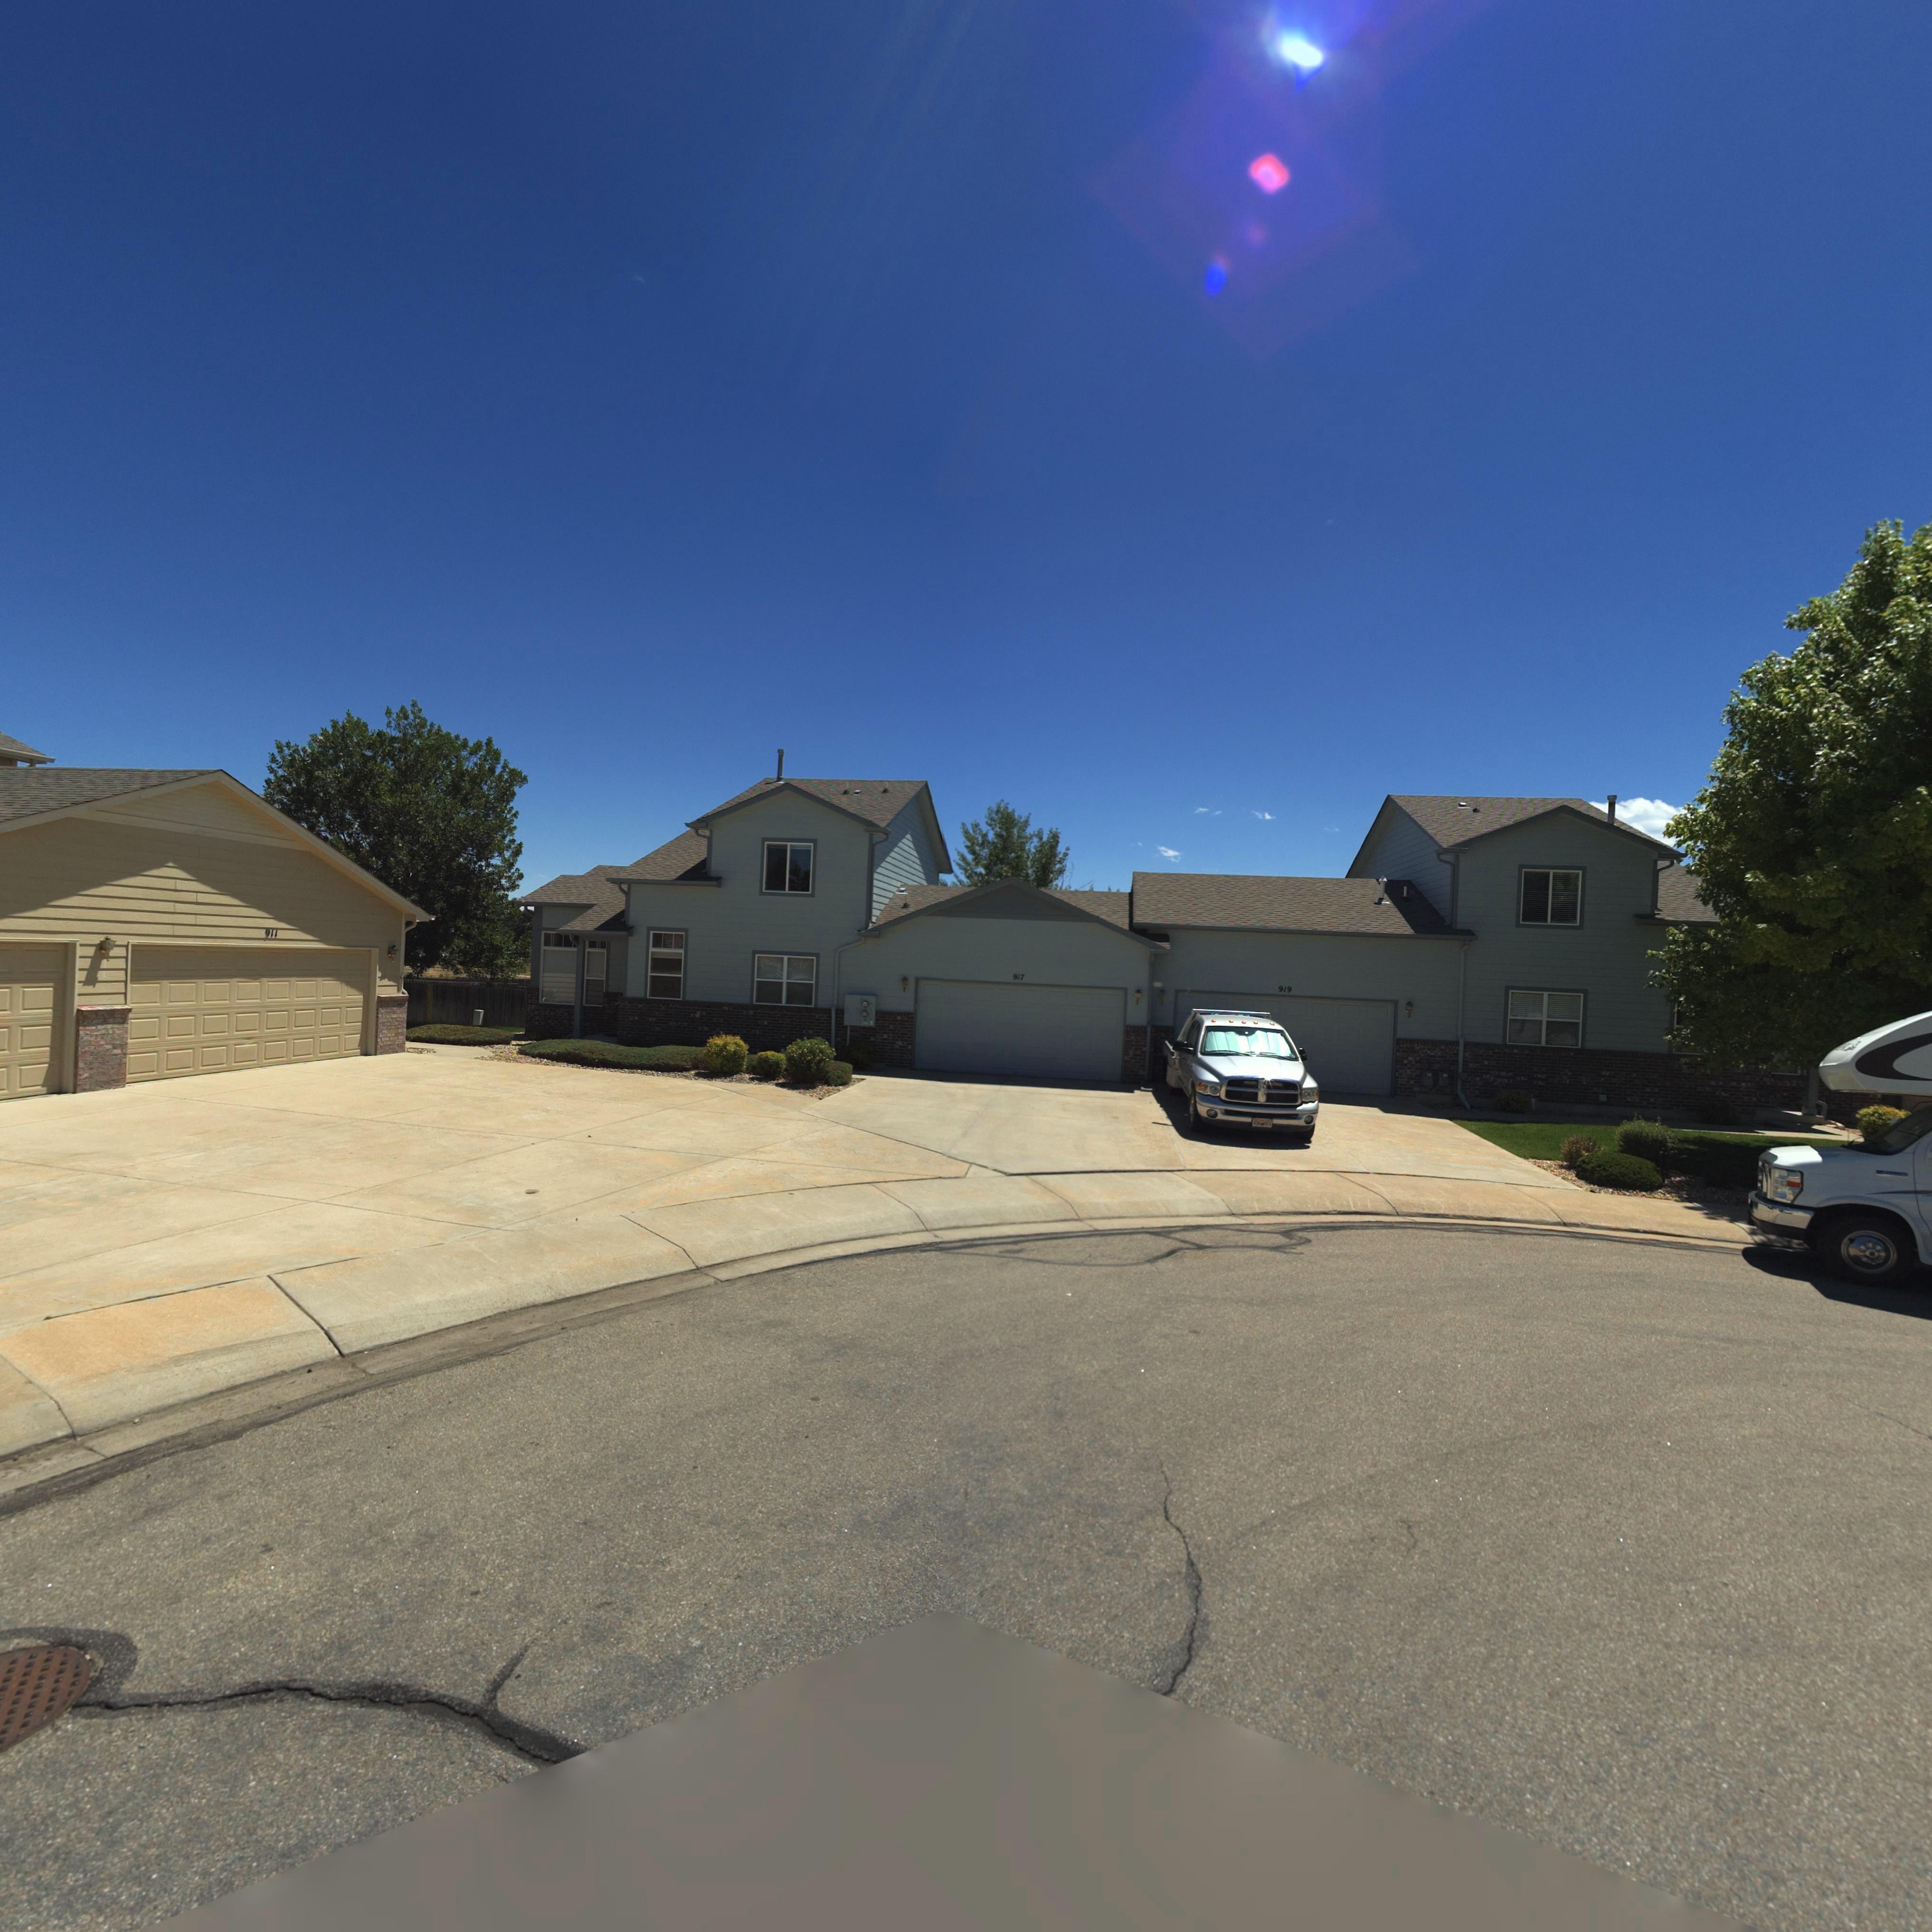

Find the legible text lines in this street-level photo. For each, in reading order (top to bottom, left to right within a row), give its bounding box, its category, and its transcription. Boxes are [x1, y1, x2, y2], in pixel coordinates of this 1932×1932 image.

[264, 928, 278, 938] StreetNumber: 911
[1013, 973, 1025, 981] StreetNumber: 917
[1278, 985, 1292, 993] StreetNumber: 919